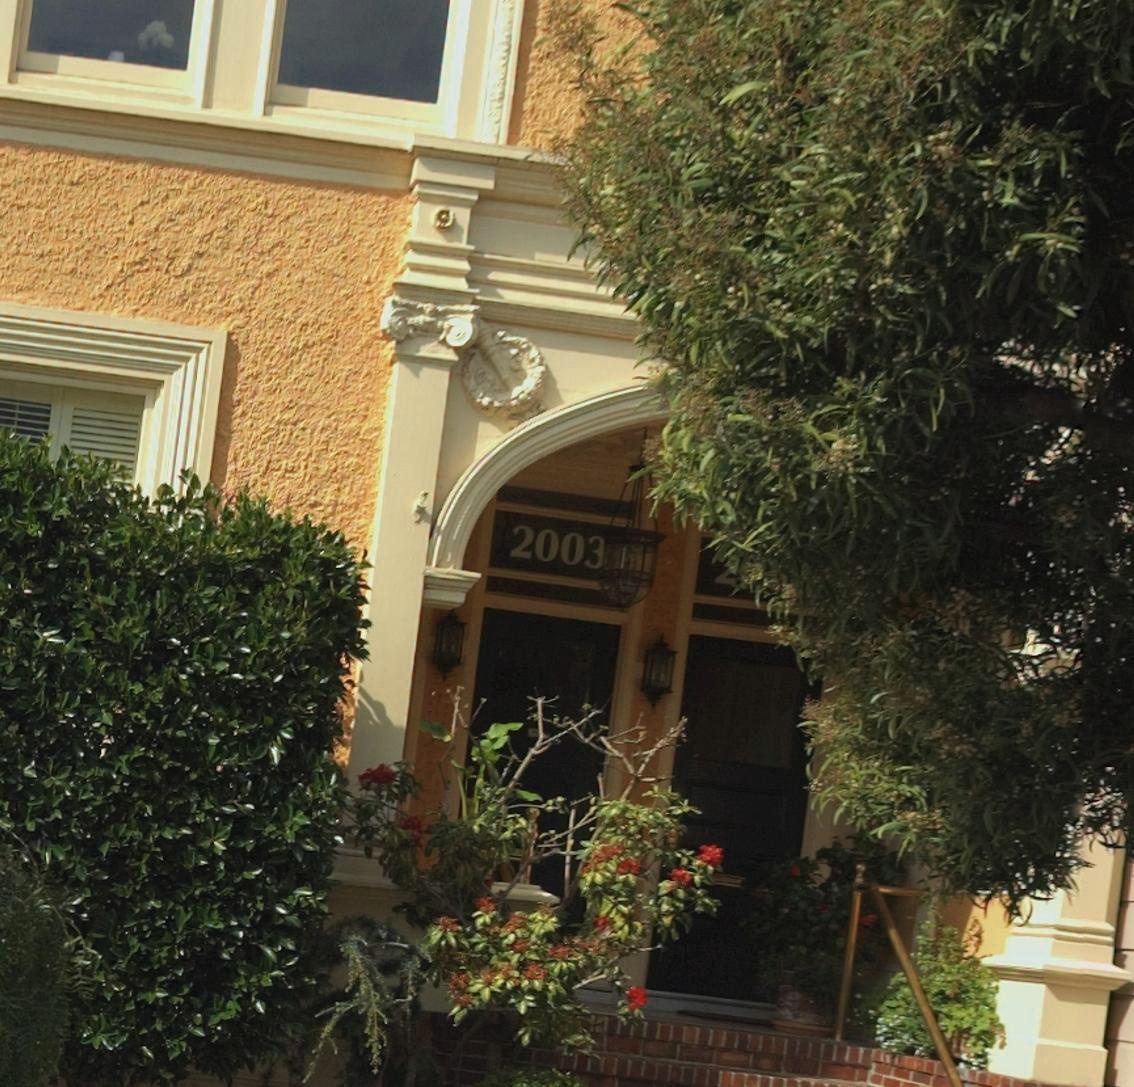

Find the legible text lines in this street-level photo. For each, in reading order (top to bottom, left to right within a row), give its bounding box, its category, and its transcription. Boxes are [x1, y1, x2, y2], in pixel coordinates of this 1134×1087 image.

[508, 524, 605, 572] StreetNumber: 2003